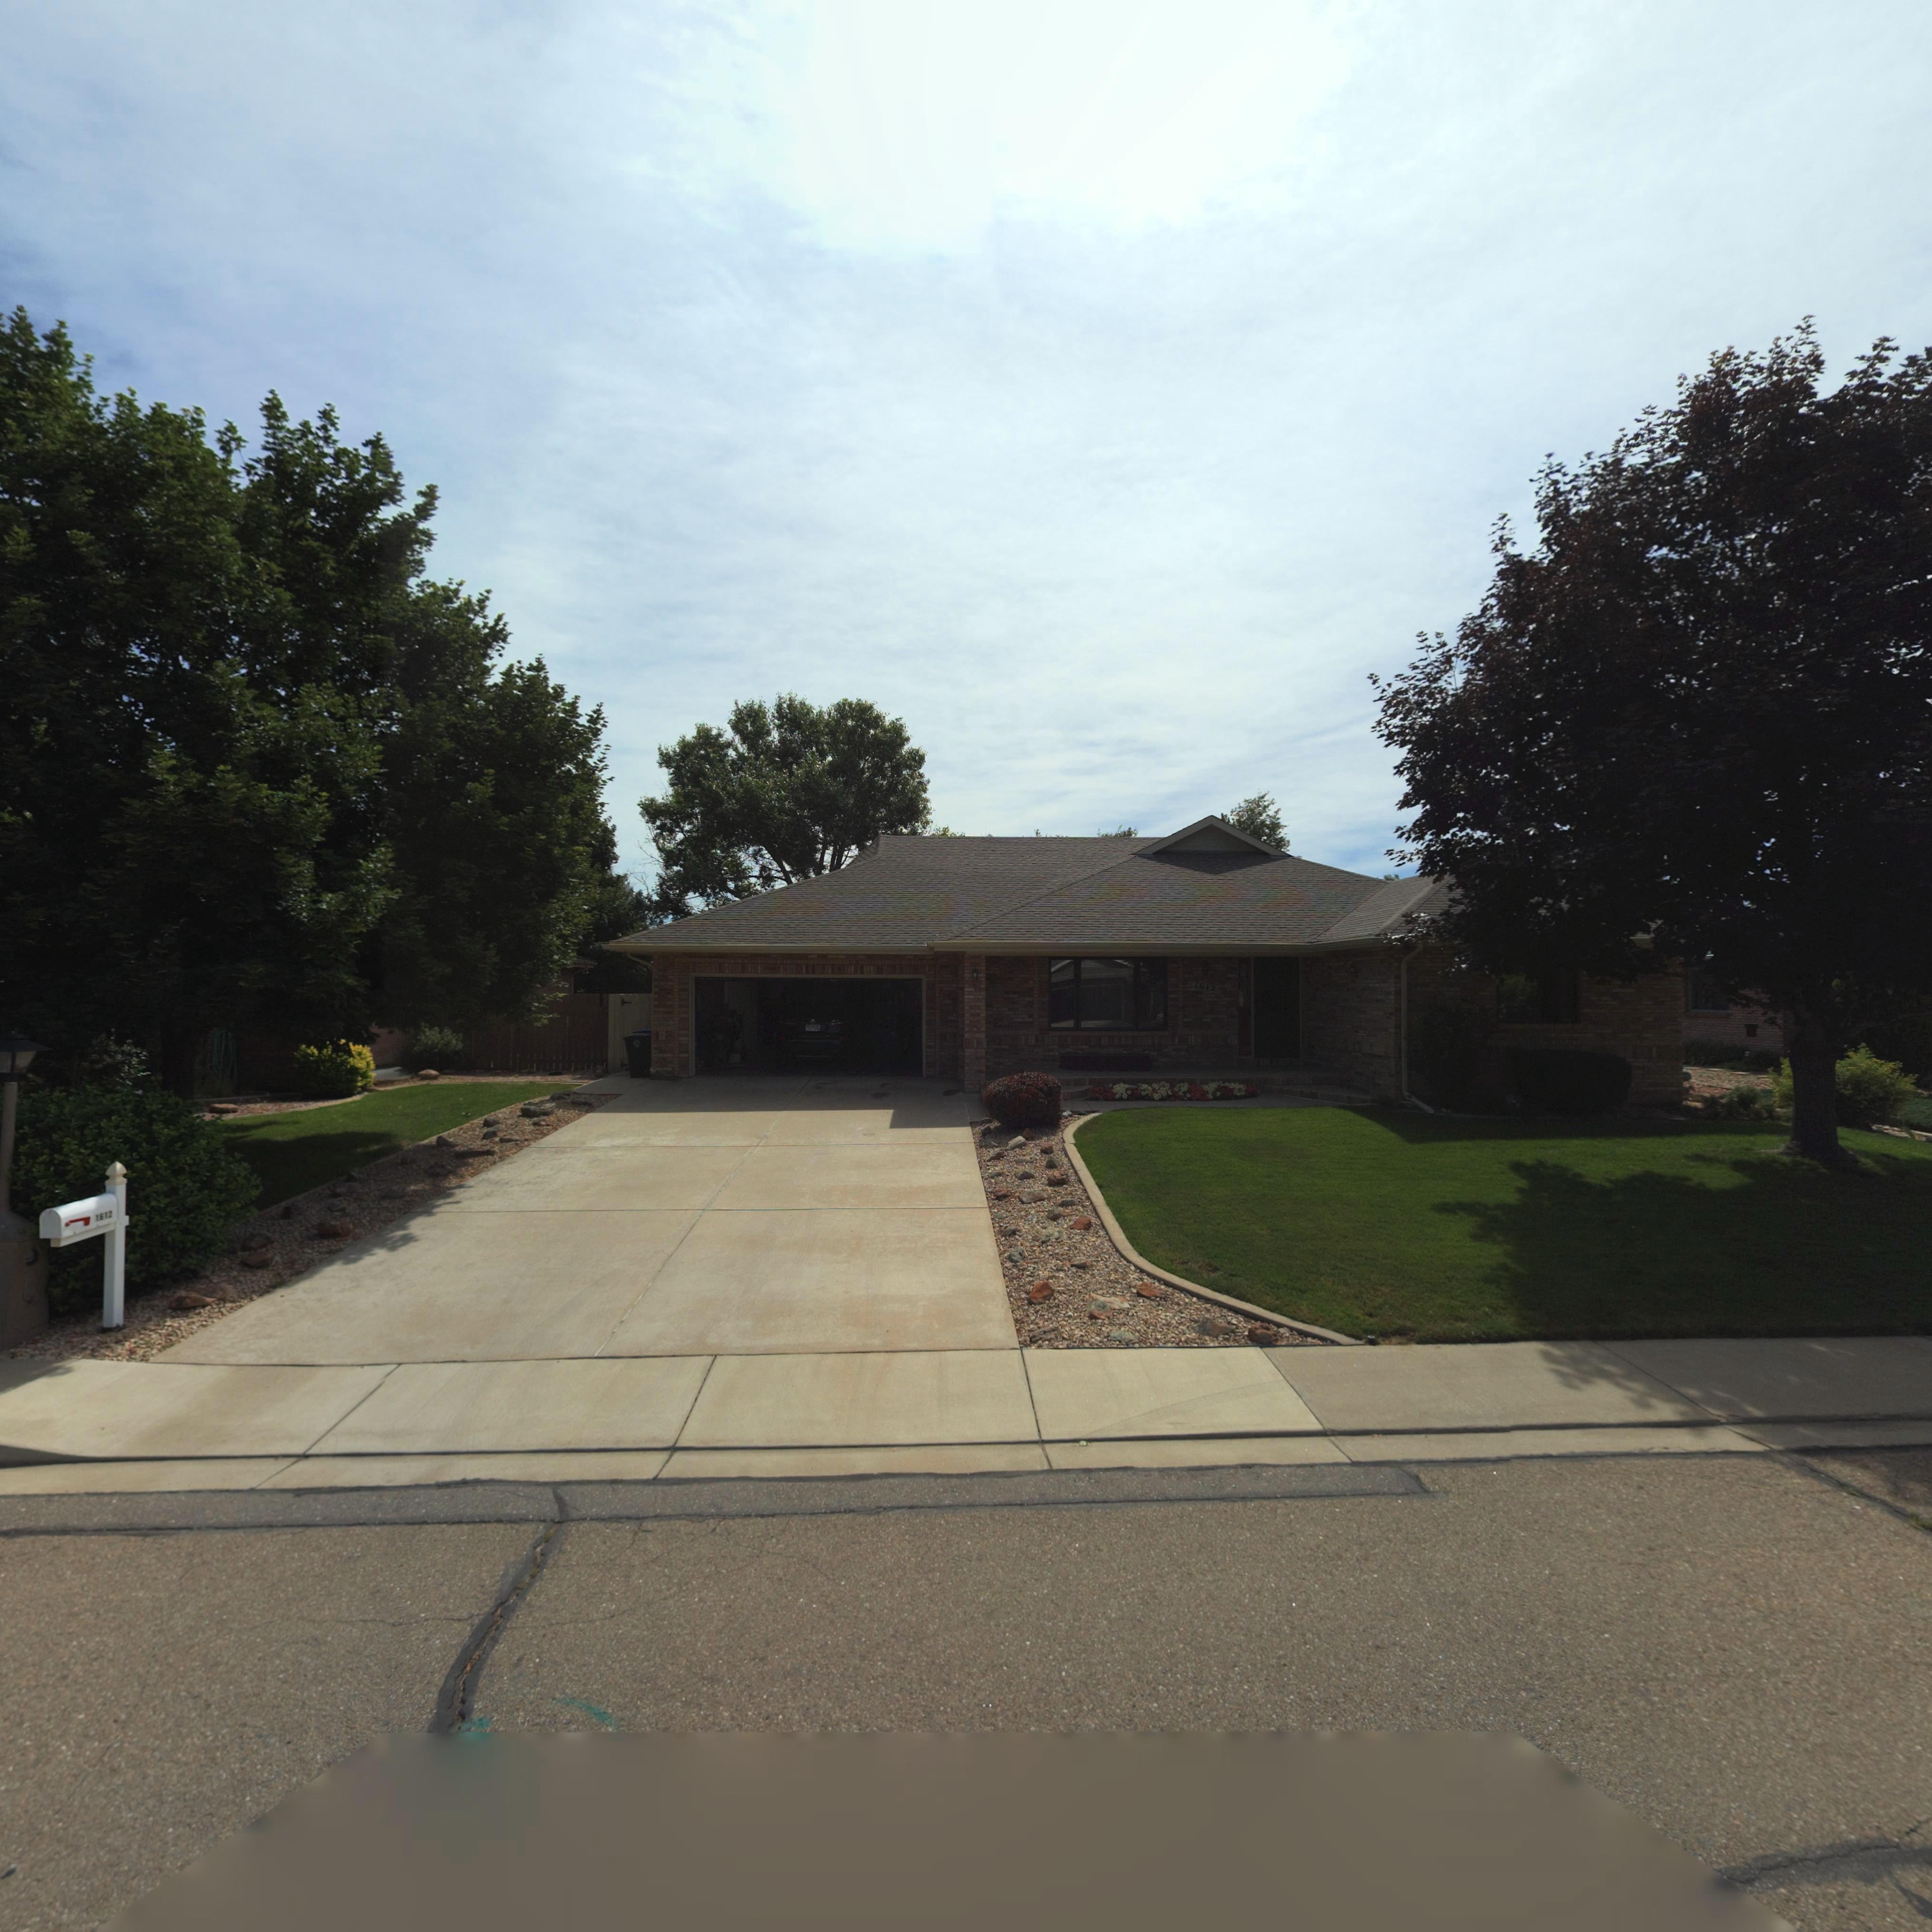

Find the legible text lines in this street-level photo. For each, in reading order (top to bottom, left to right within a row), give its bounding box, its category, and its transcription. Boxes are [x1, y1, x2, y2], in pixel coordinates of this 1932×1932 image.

[1194, 981, 1216, 992] StreetNumber: 1612
[95, 1209, 113, 1222] StreetNumber: 1612